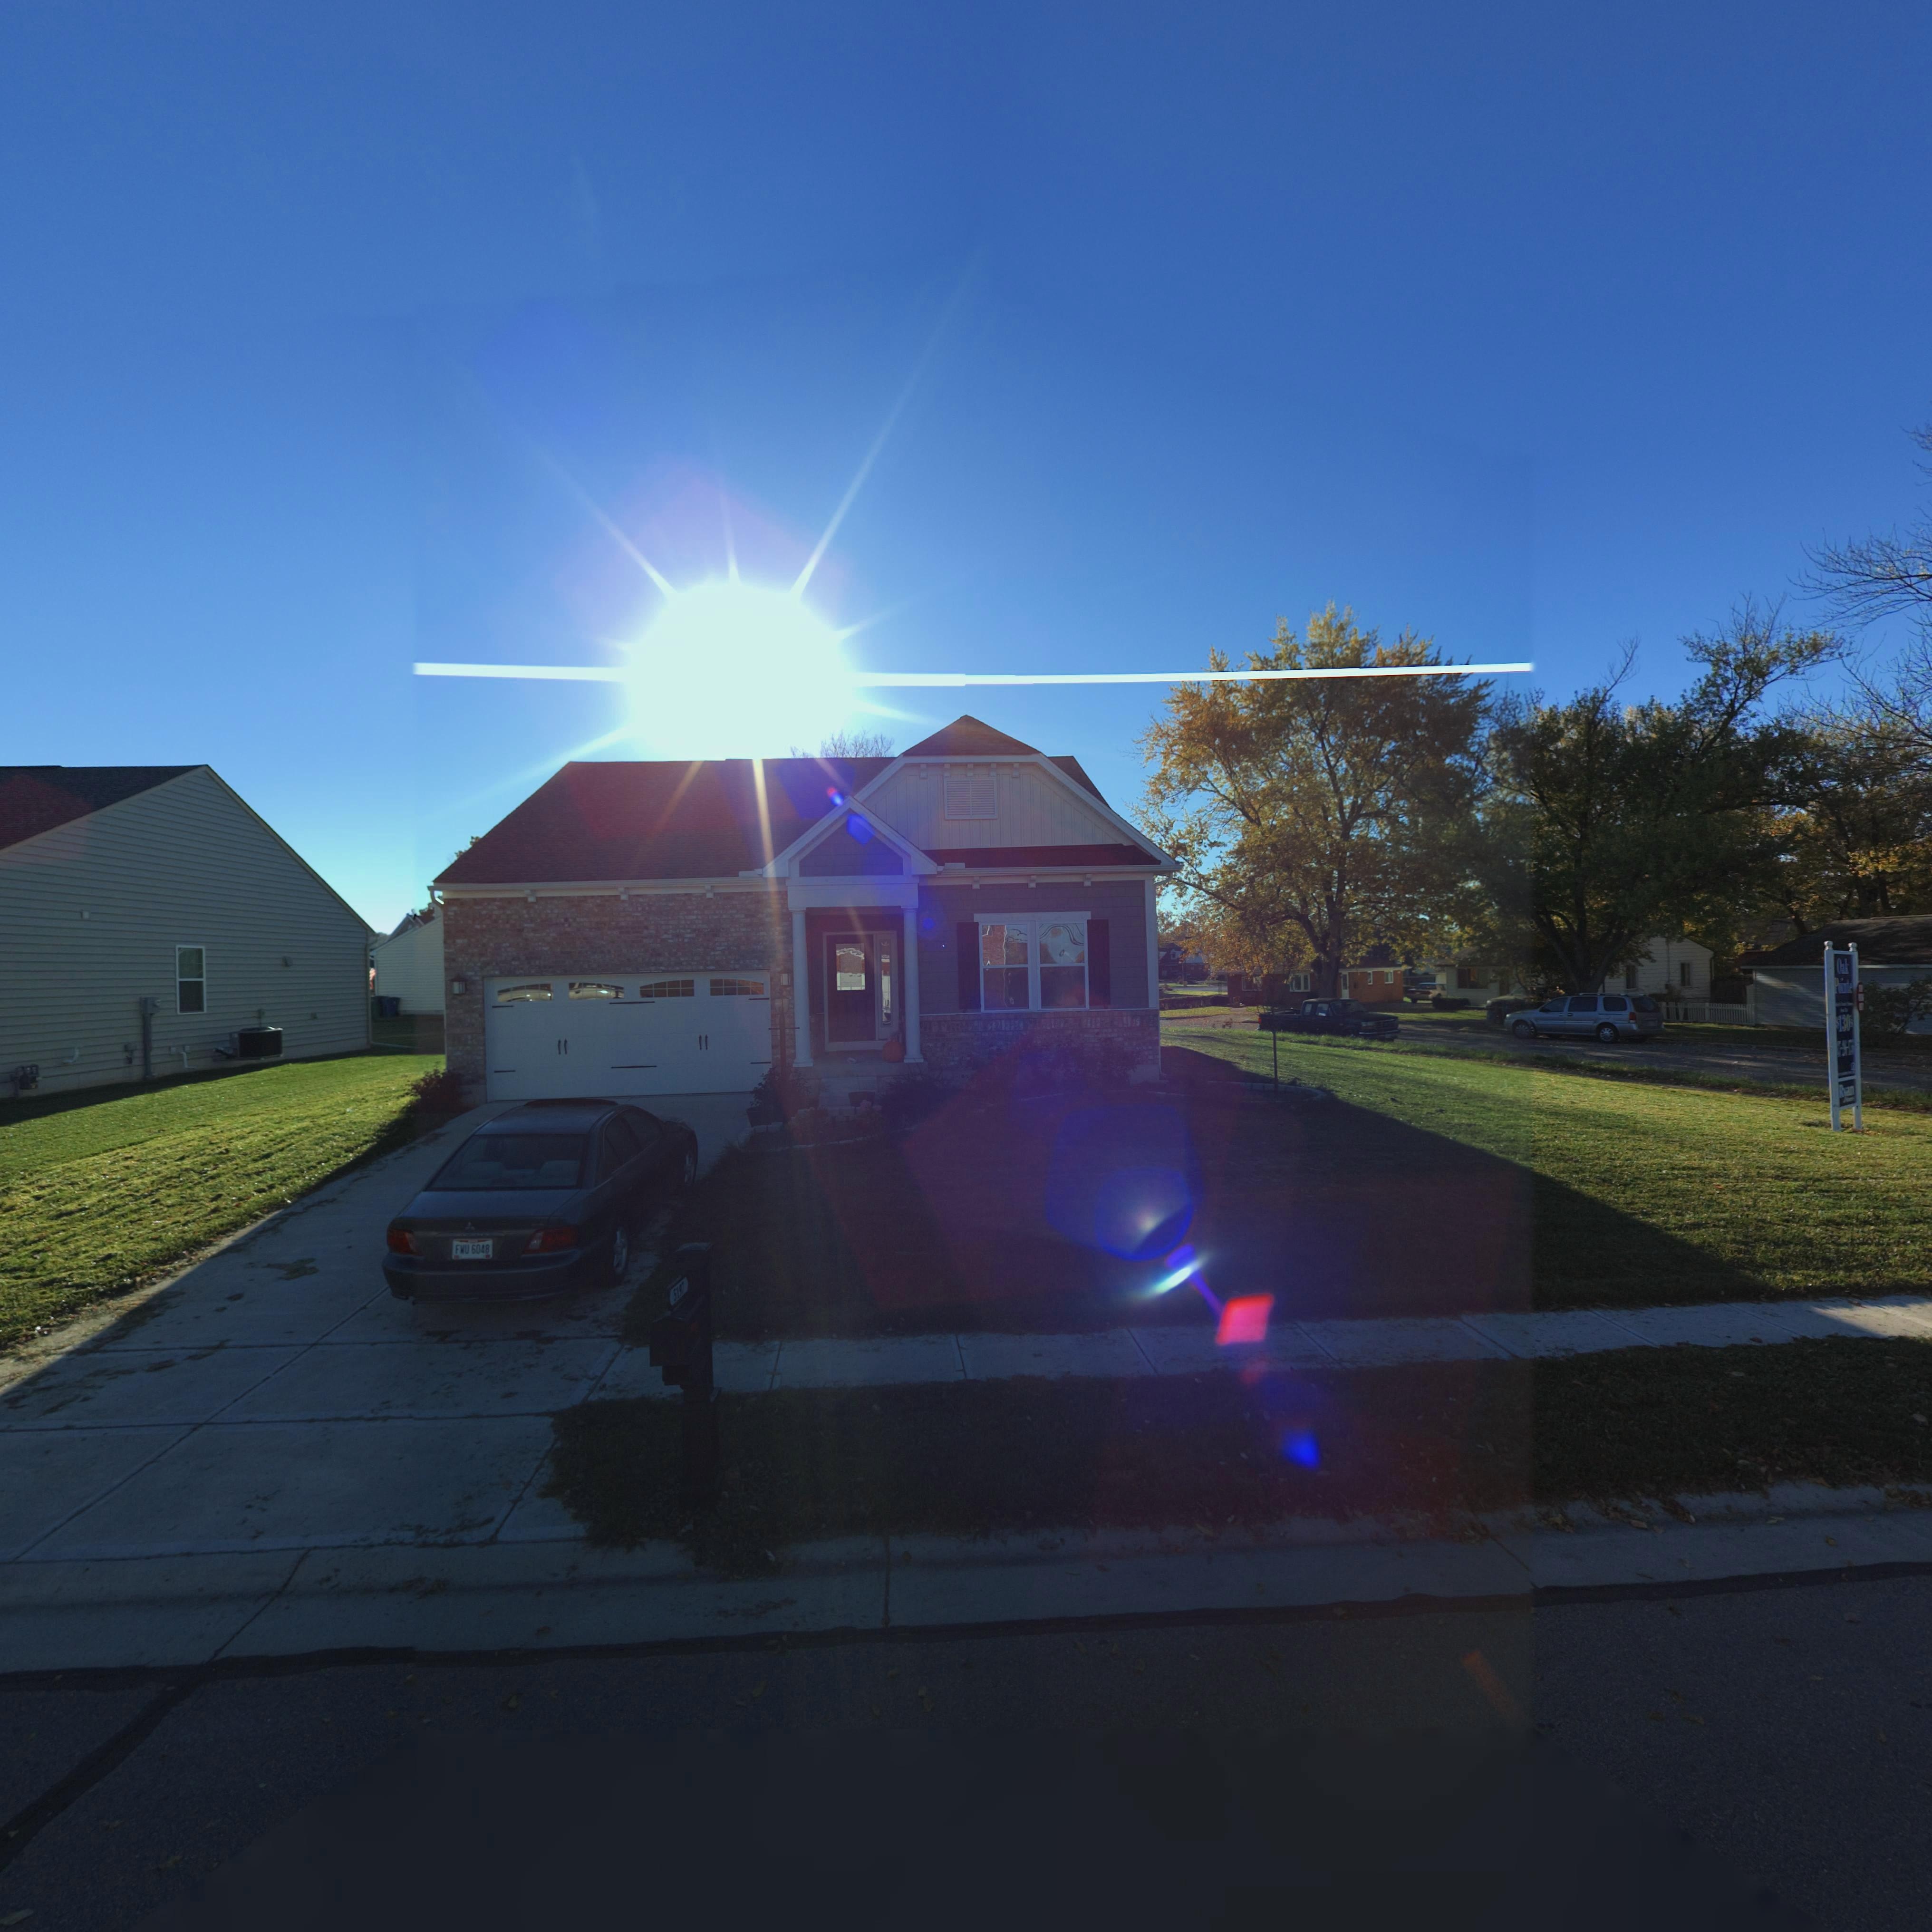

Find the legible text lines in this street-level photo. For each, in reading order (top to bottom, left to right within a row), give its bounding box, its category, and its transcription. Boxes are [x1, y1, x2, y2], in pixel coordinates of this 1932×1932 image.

[672, 1280, 685, 1303] StreetNumber: 5197